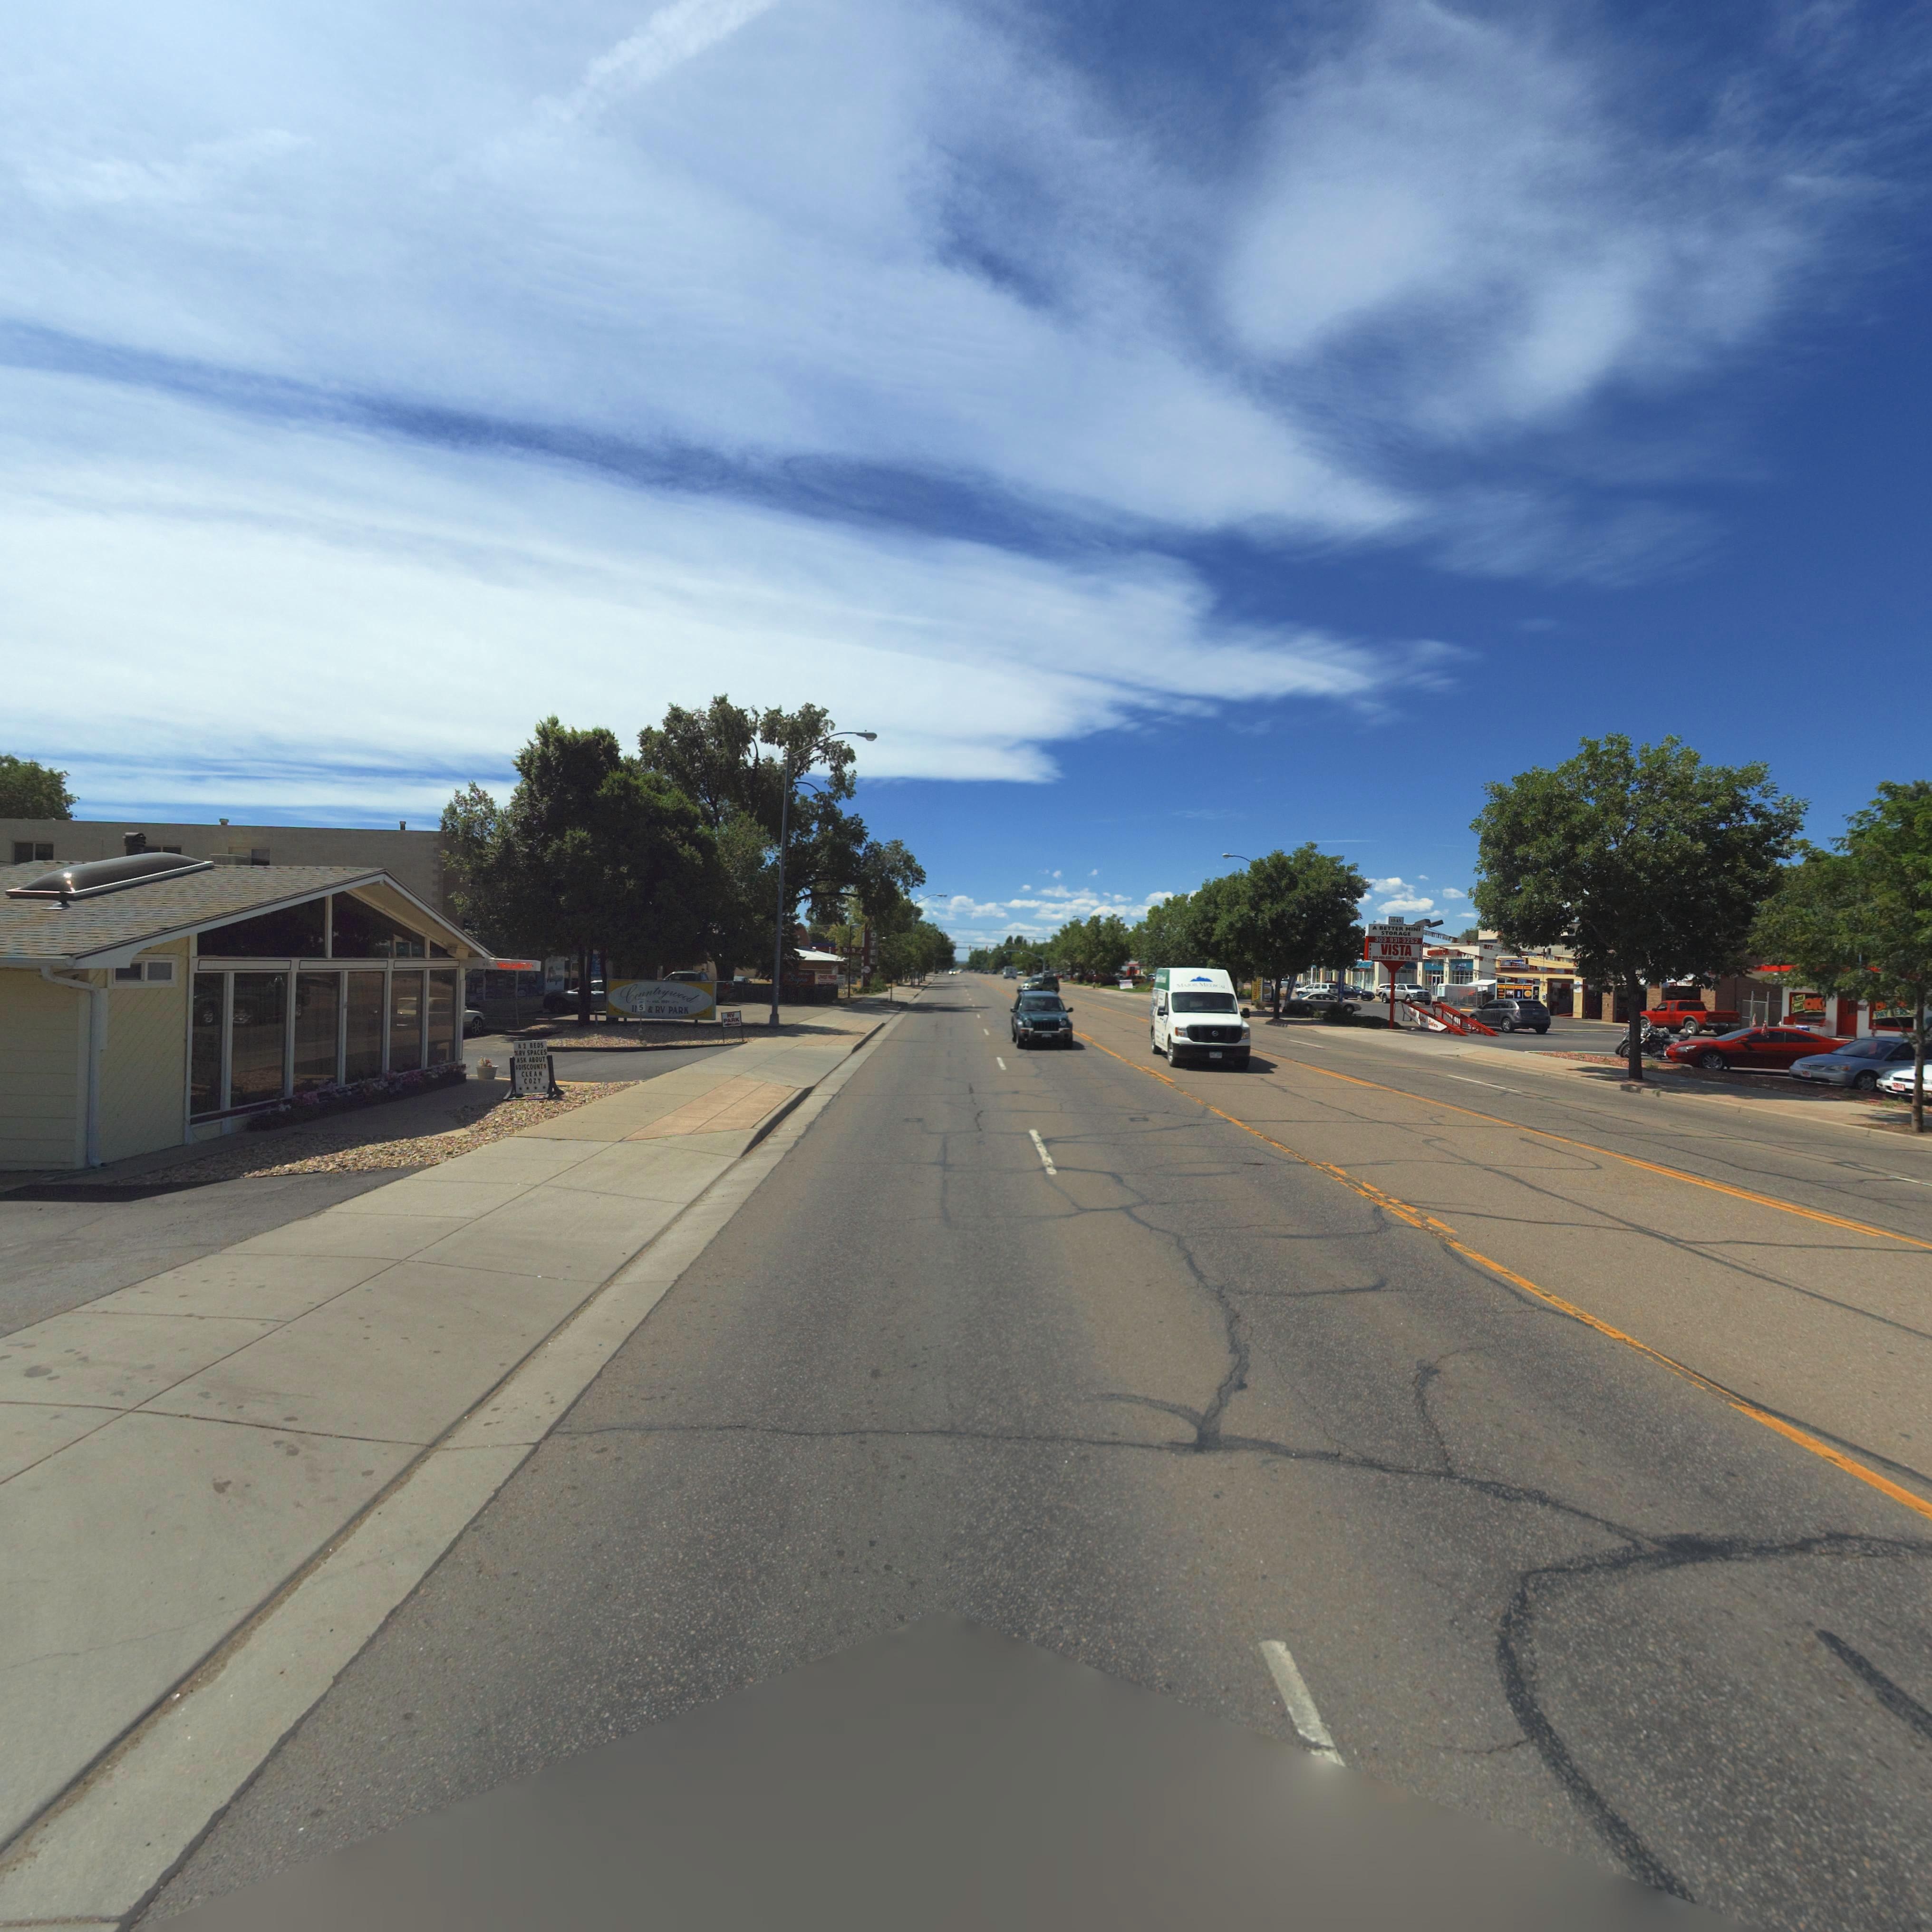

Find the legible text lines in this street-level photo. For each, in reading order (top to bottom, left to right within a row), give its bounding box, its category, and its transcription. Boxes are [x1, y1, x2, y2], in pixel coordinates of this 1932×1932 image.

[1391, 918, 1401, 923] StreetNumber: 1545
[843, 947, 863, 954] BusinessName: B*R L
[869, 932, 877, 964] BusinessName: OTEL
[1381, 944, 1412, 956] BusinessName: VISTA
[788, 973, 808, 985] BusinessName: Signs
[619, 983, 700, 1004] BusinessName: Countrywood
[631, 1005, 689, 1014] BusinessName: I** * RV PARK
[1408, 1008, 1439, 1028] BusinessName: ***ta A*to Sal*s